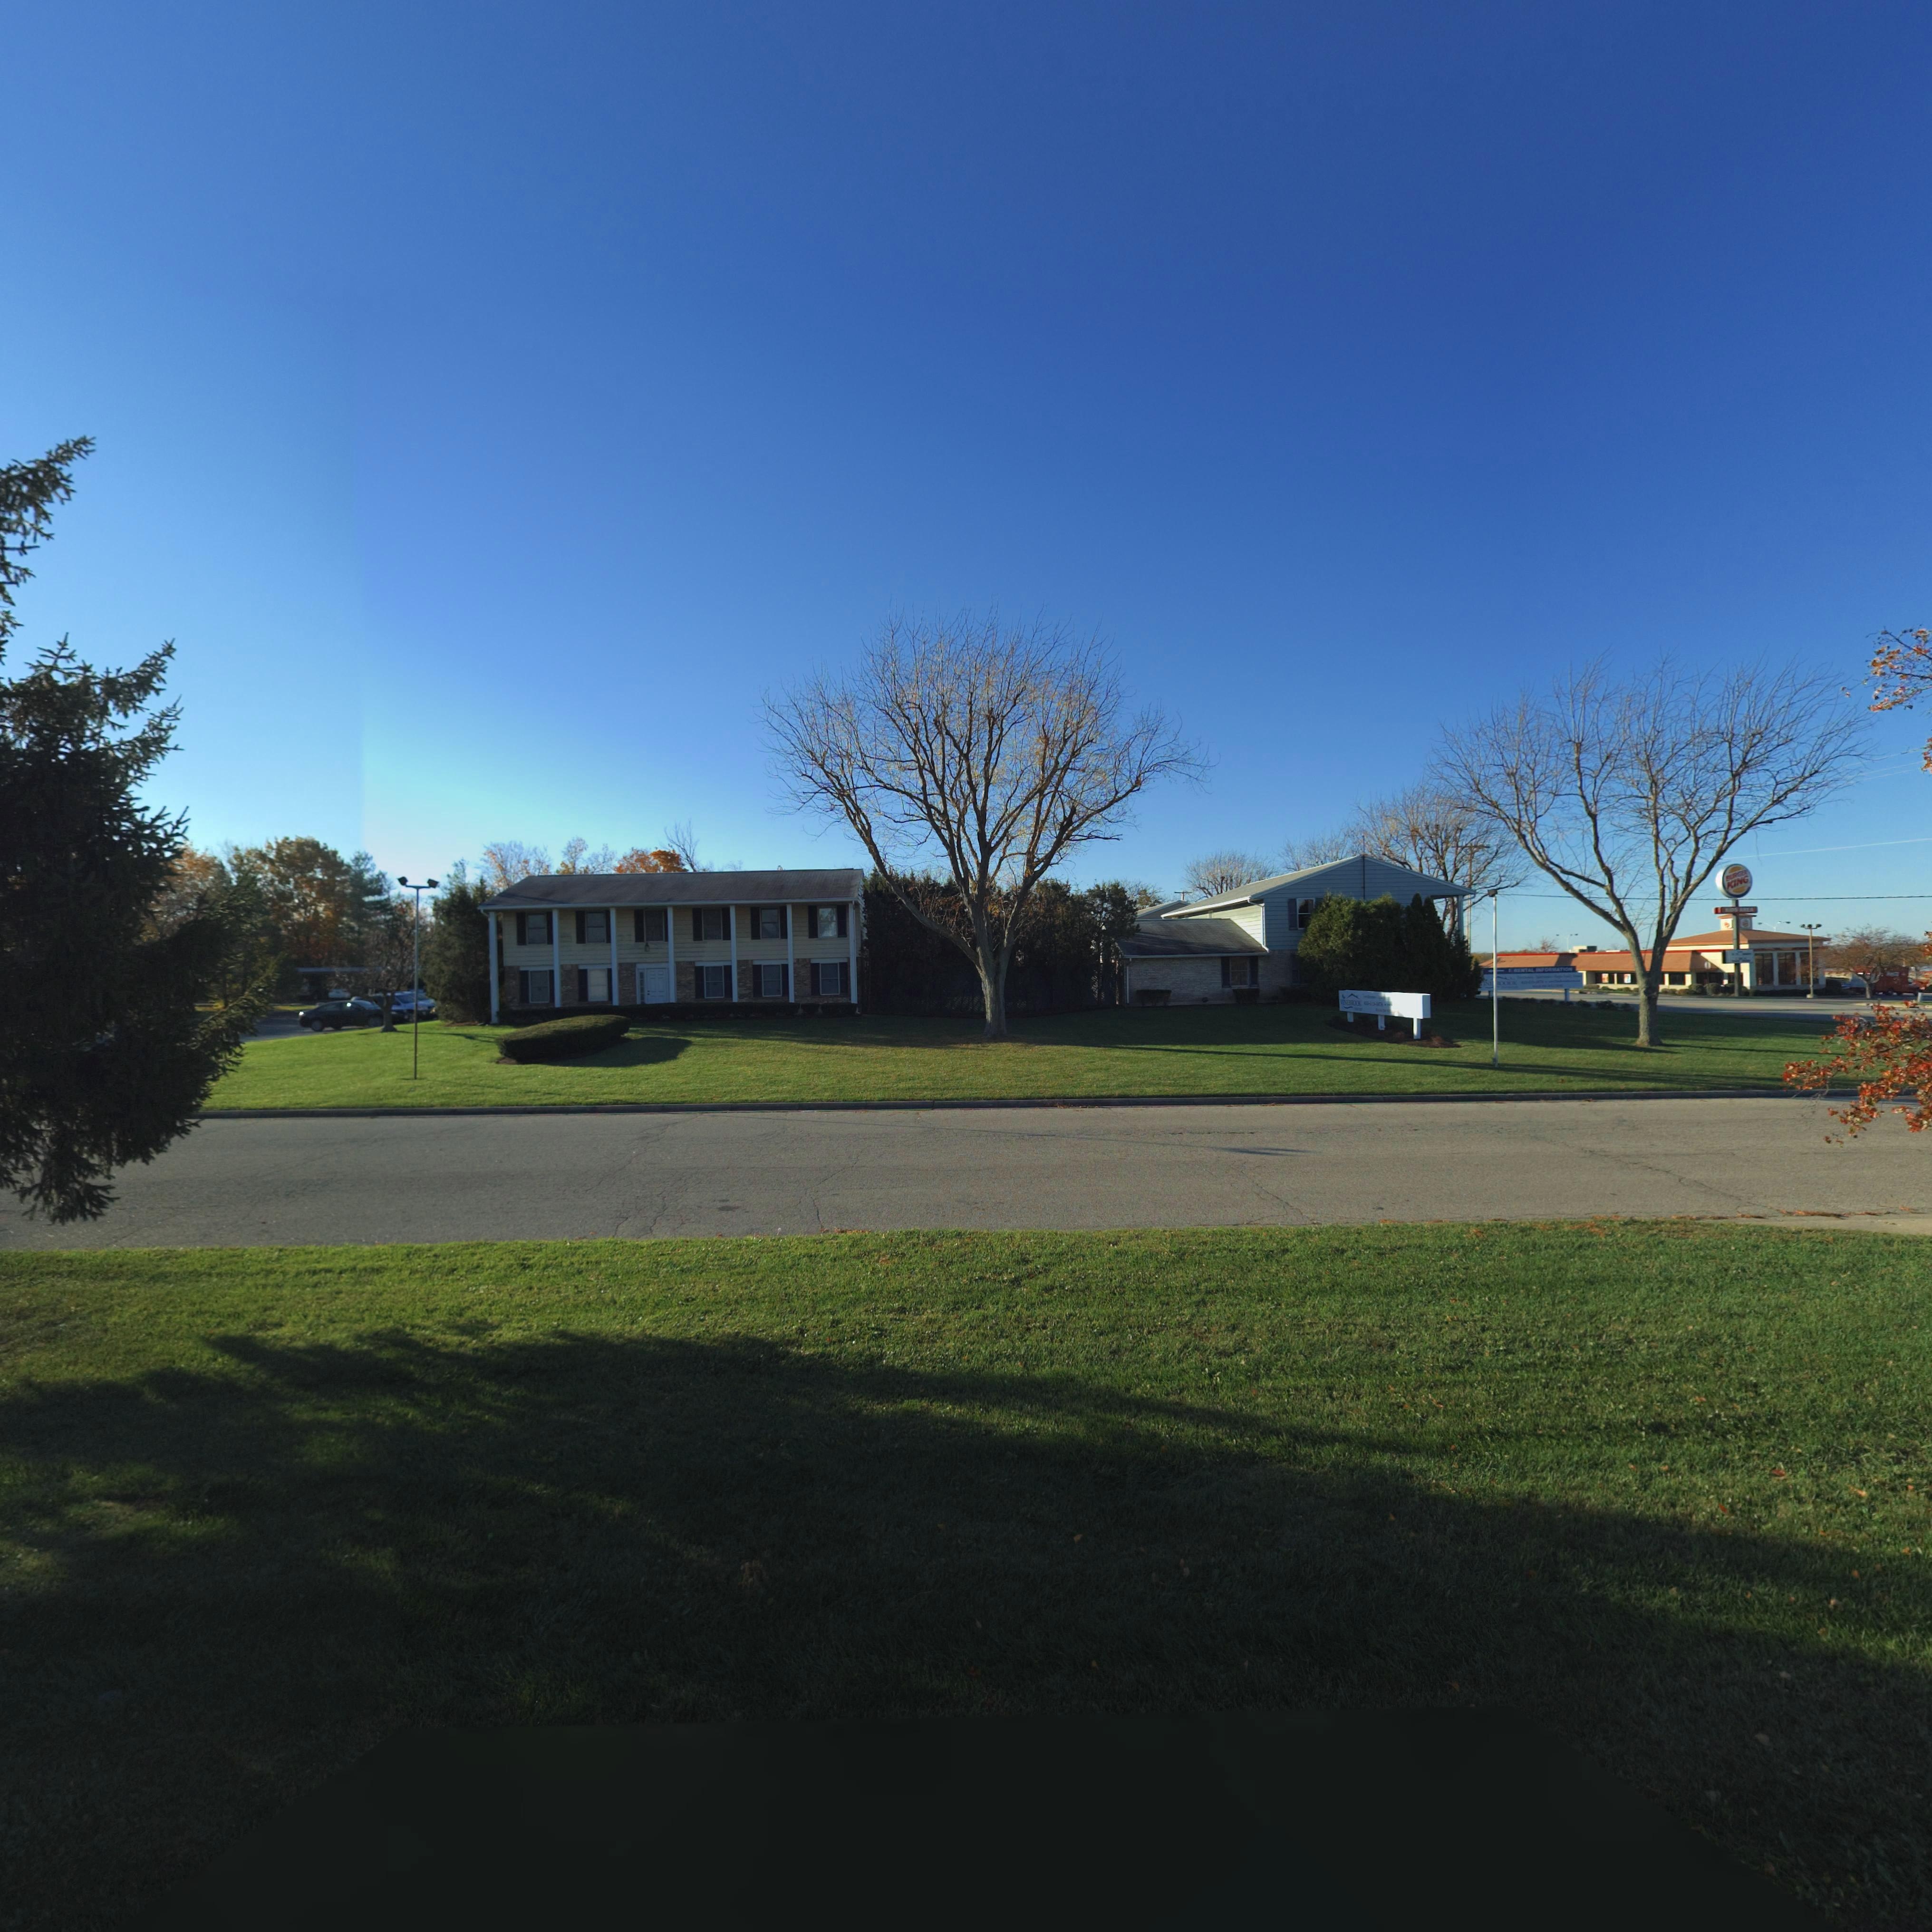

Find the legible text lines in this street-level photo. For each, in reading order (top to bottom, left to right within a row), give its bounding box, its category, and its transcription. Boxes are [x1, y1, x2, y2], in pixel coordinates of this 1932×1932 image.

[676, 975, 694, 980] StreetNumber: *550